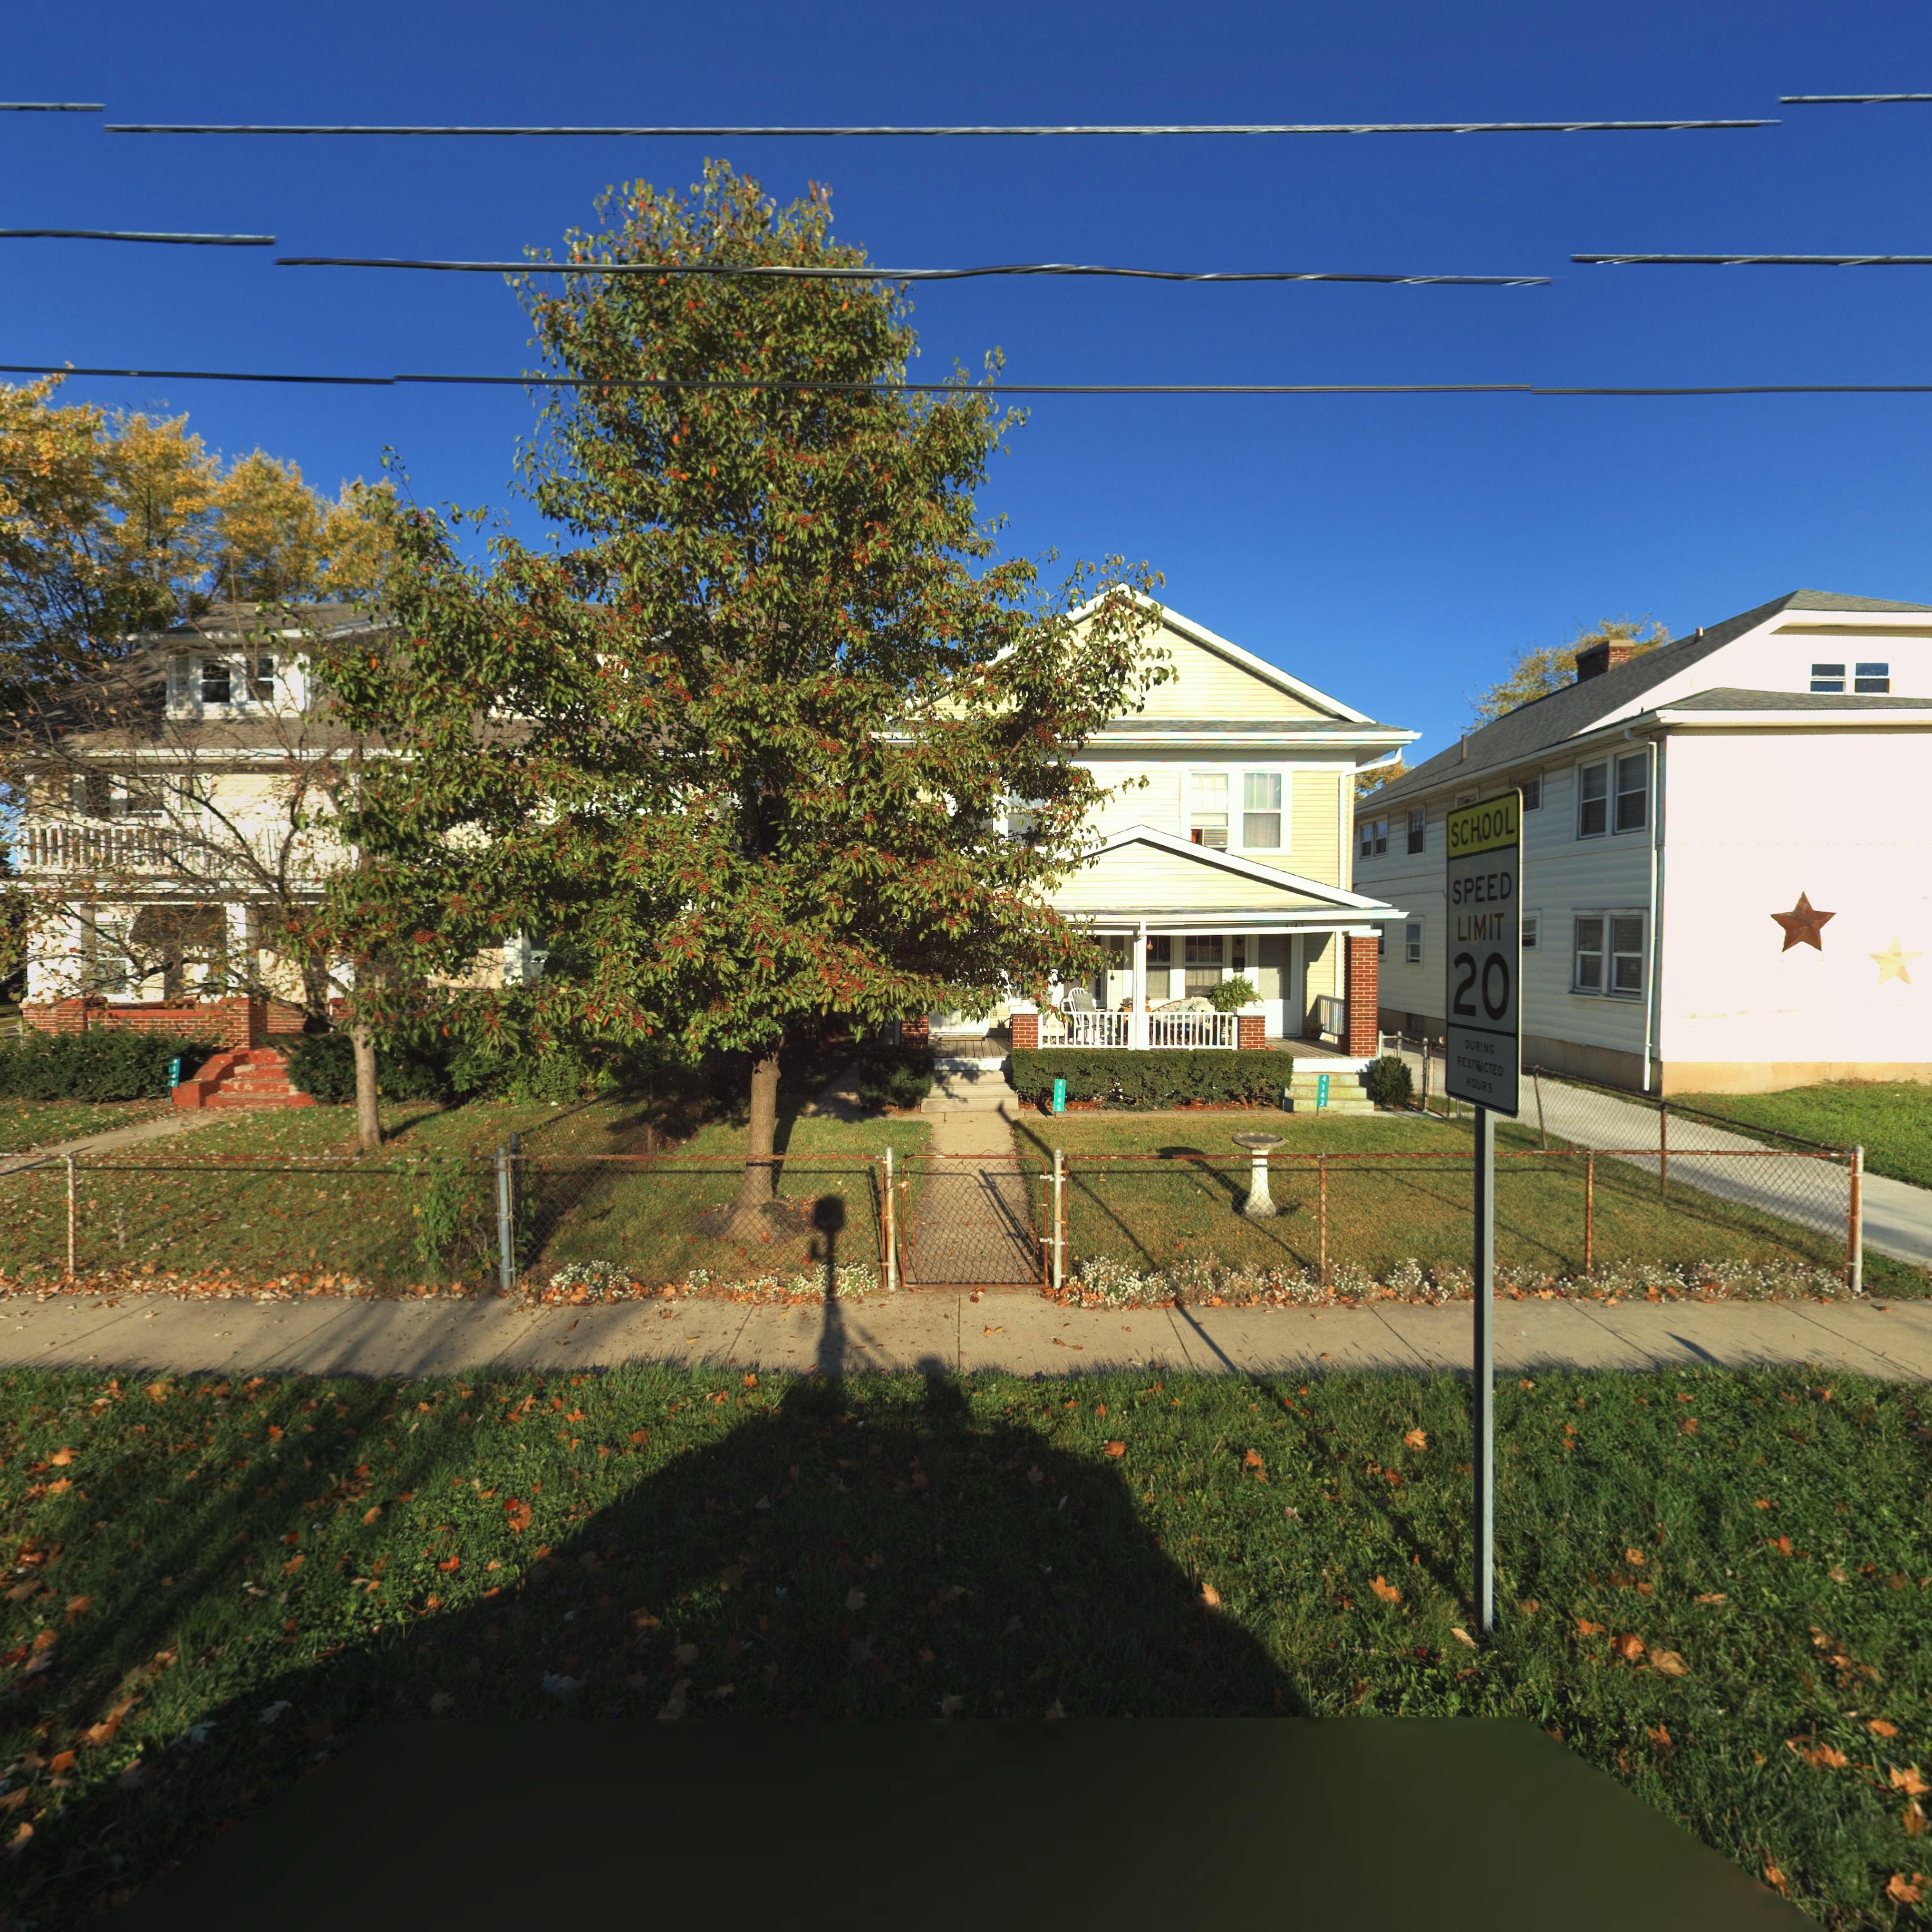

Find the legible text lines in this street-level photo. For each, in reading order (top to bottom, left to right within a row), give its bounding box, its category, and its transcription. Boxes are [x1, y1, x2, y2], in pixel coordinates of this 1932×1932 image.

[1284, 921, 1304, 930] StreetNumber: 4143
[1056, 1080, 1063, 1111] StreetNumber: 4145
[1319, 1075, 1327, 1106] StreetNumber: 4143